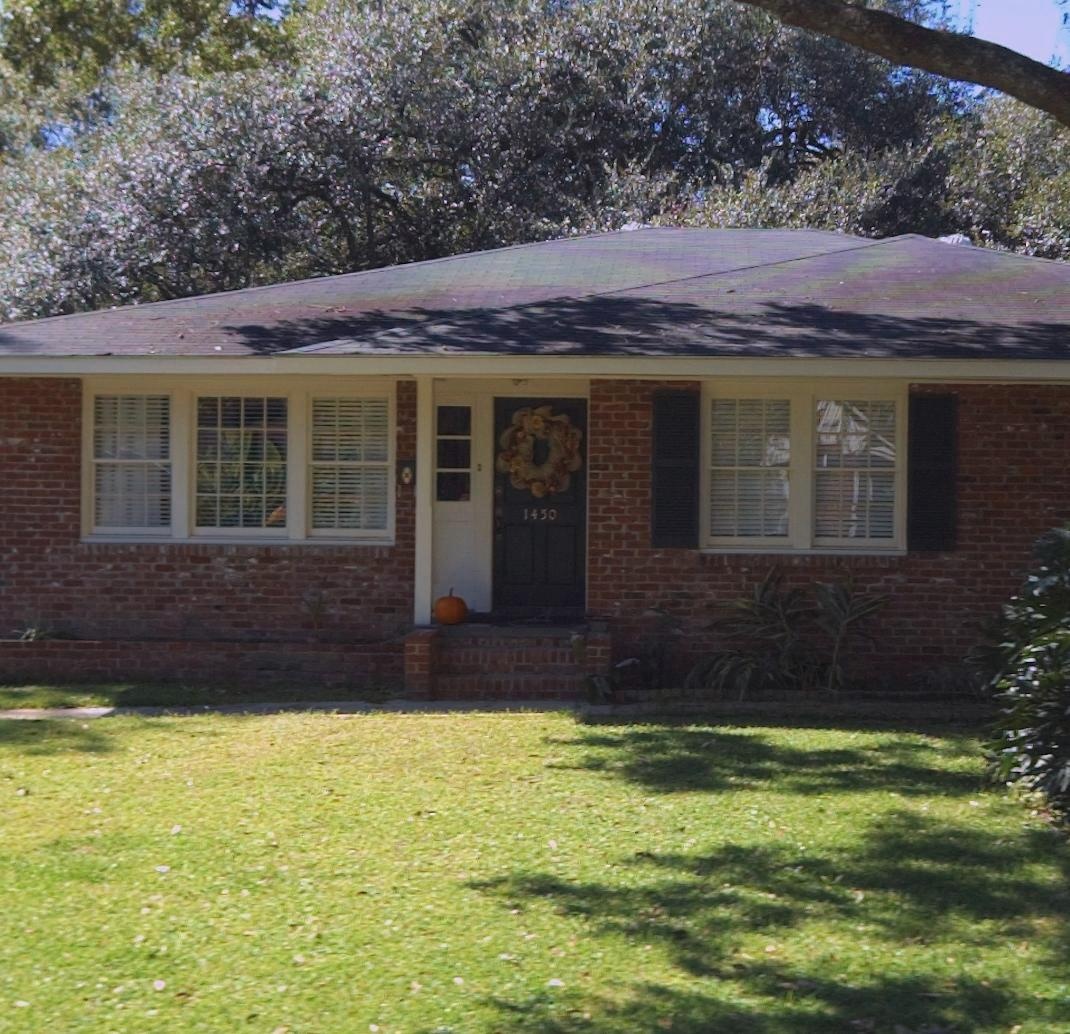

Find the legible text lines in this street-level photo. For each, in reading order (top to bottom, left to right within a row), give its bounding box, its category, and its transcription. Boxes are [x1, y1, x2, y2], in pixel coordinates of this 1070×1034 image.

[522, 506, 559, 523] StreetNumber: 1450